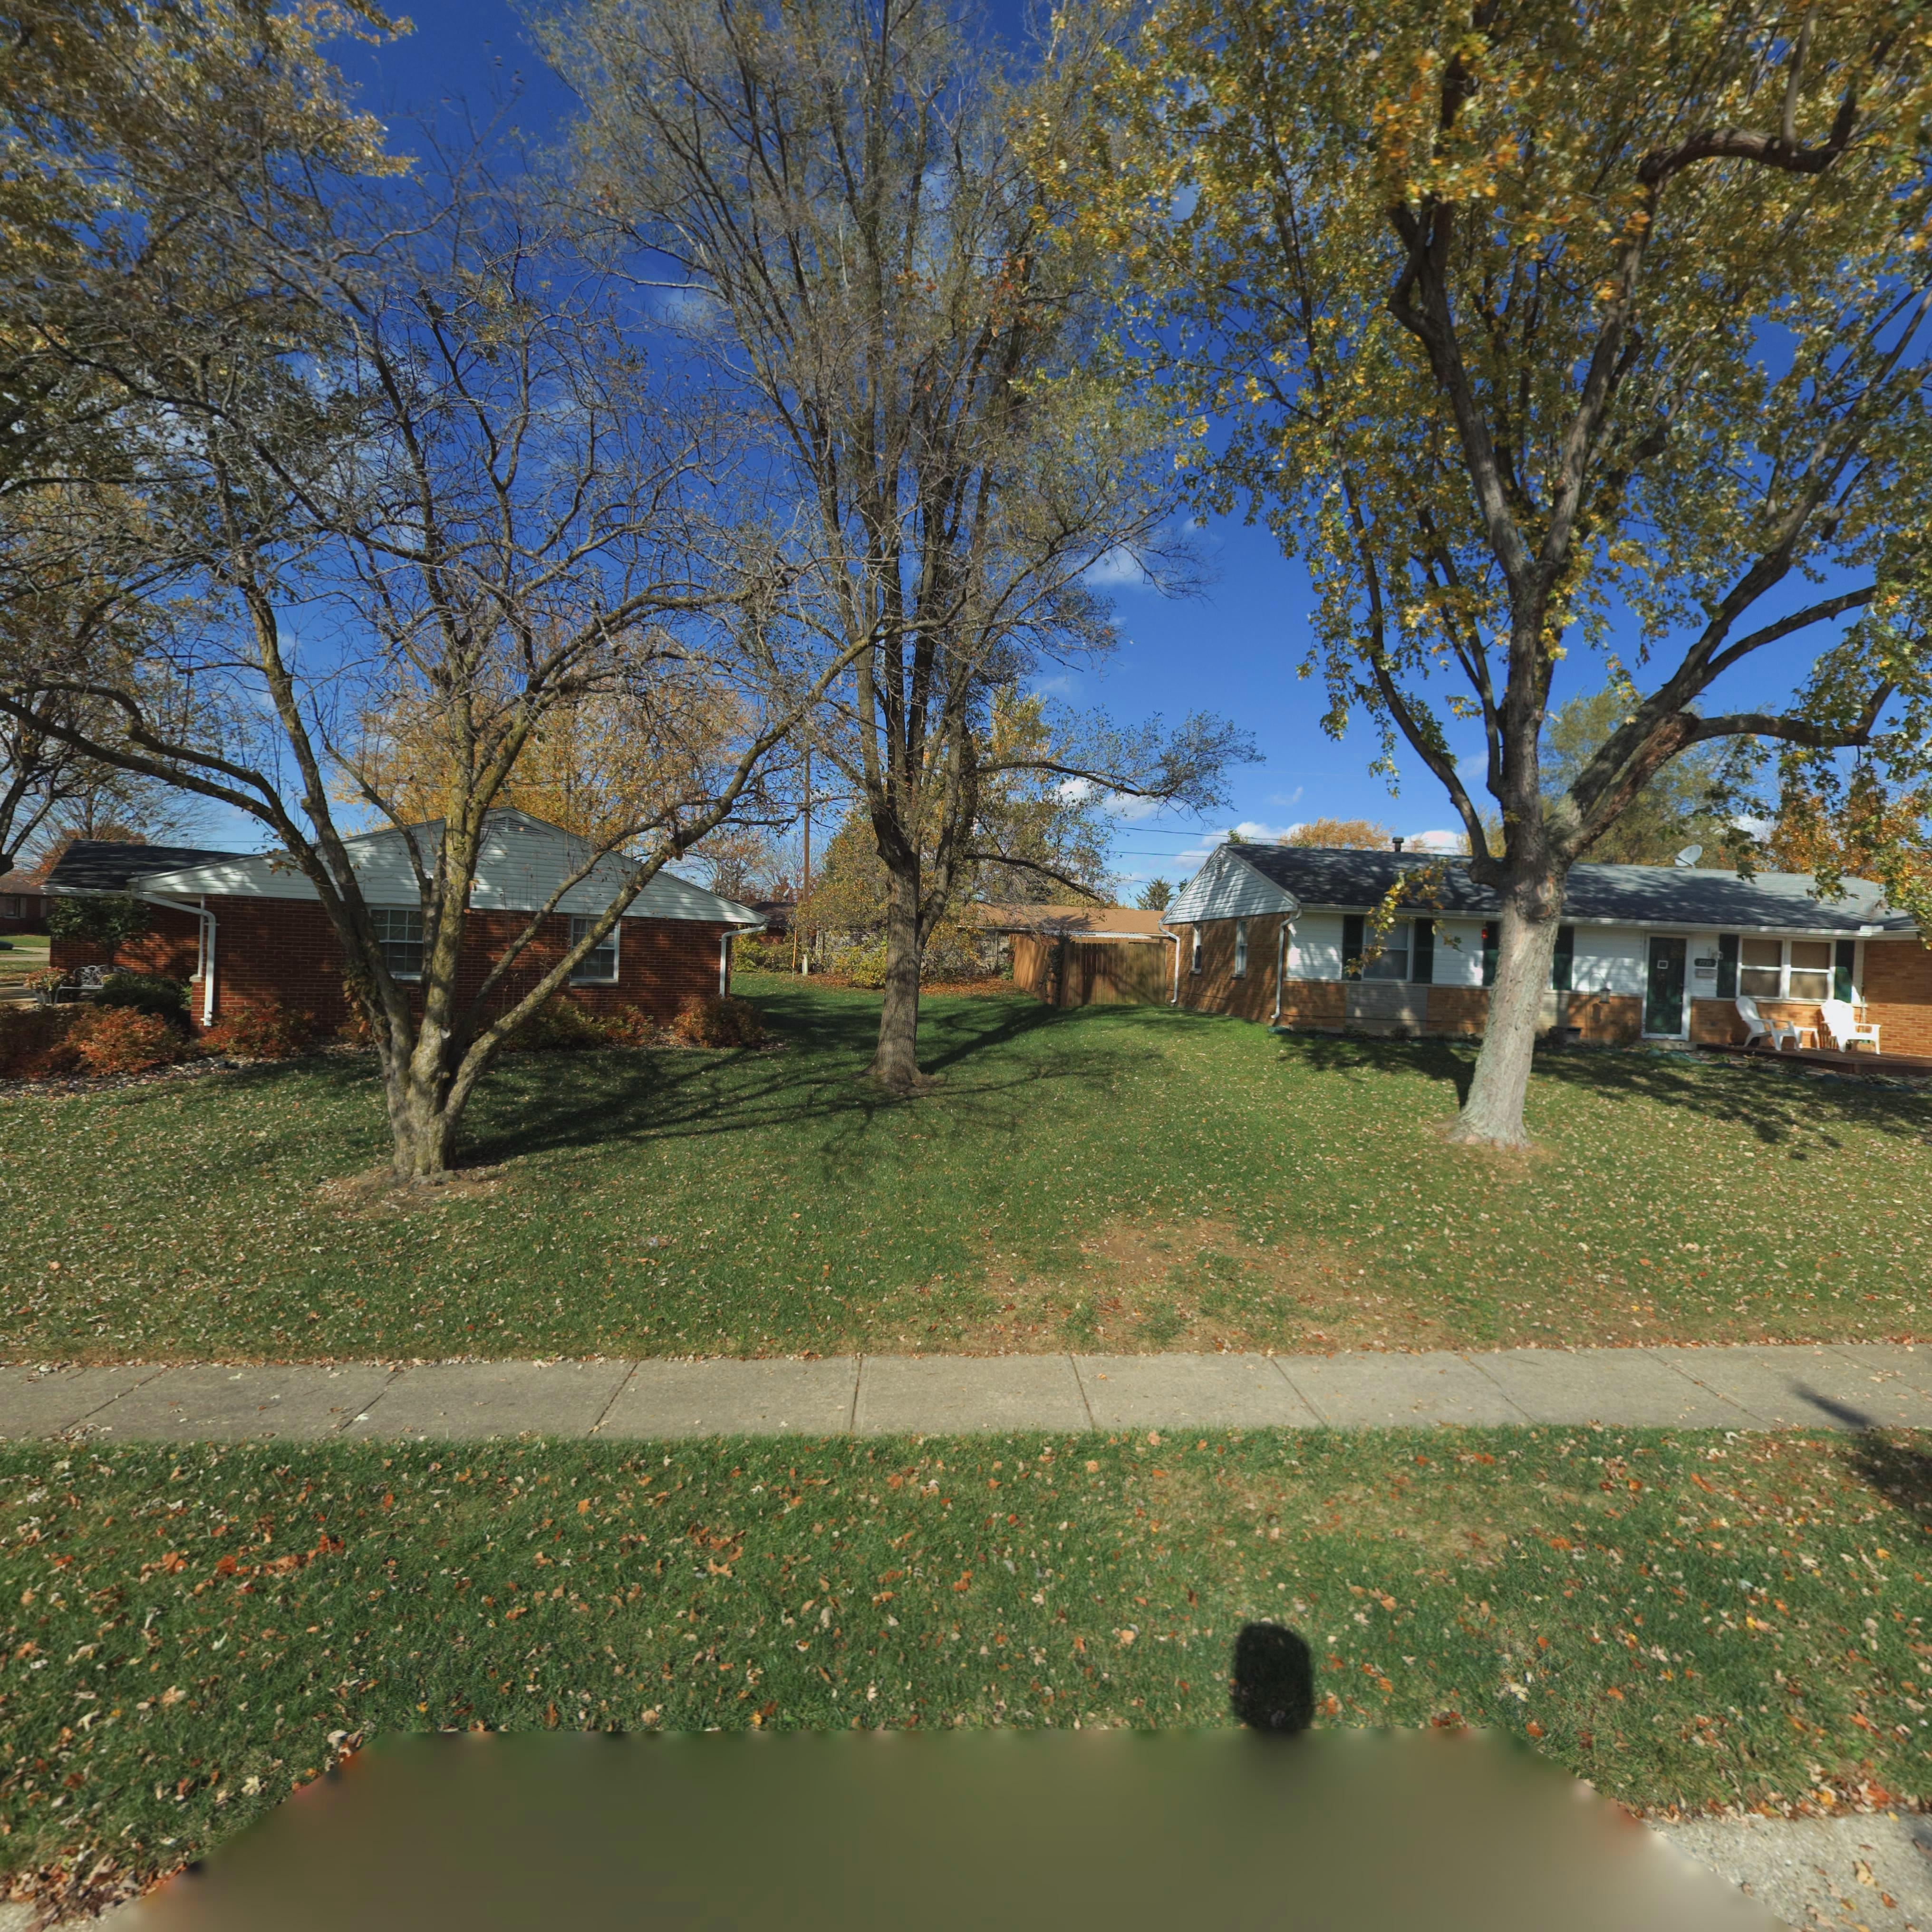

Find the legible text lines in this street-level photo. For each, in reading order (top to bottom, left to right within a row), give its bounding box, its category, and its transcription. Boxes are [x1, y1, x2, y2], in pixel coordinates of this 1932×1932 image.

[1697, 959, 1712, 967] StreetNumber: 77*5